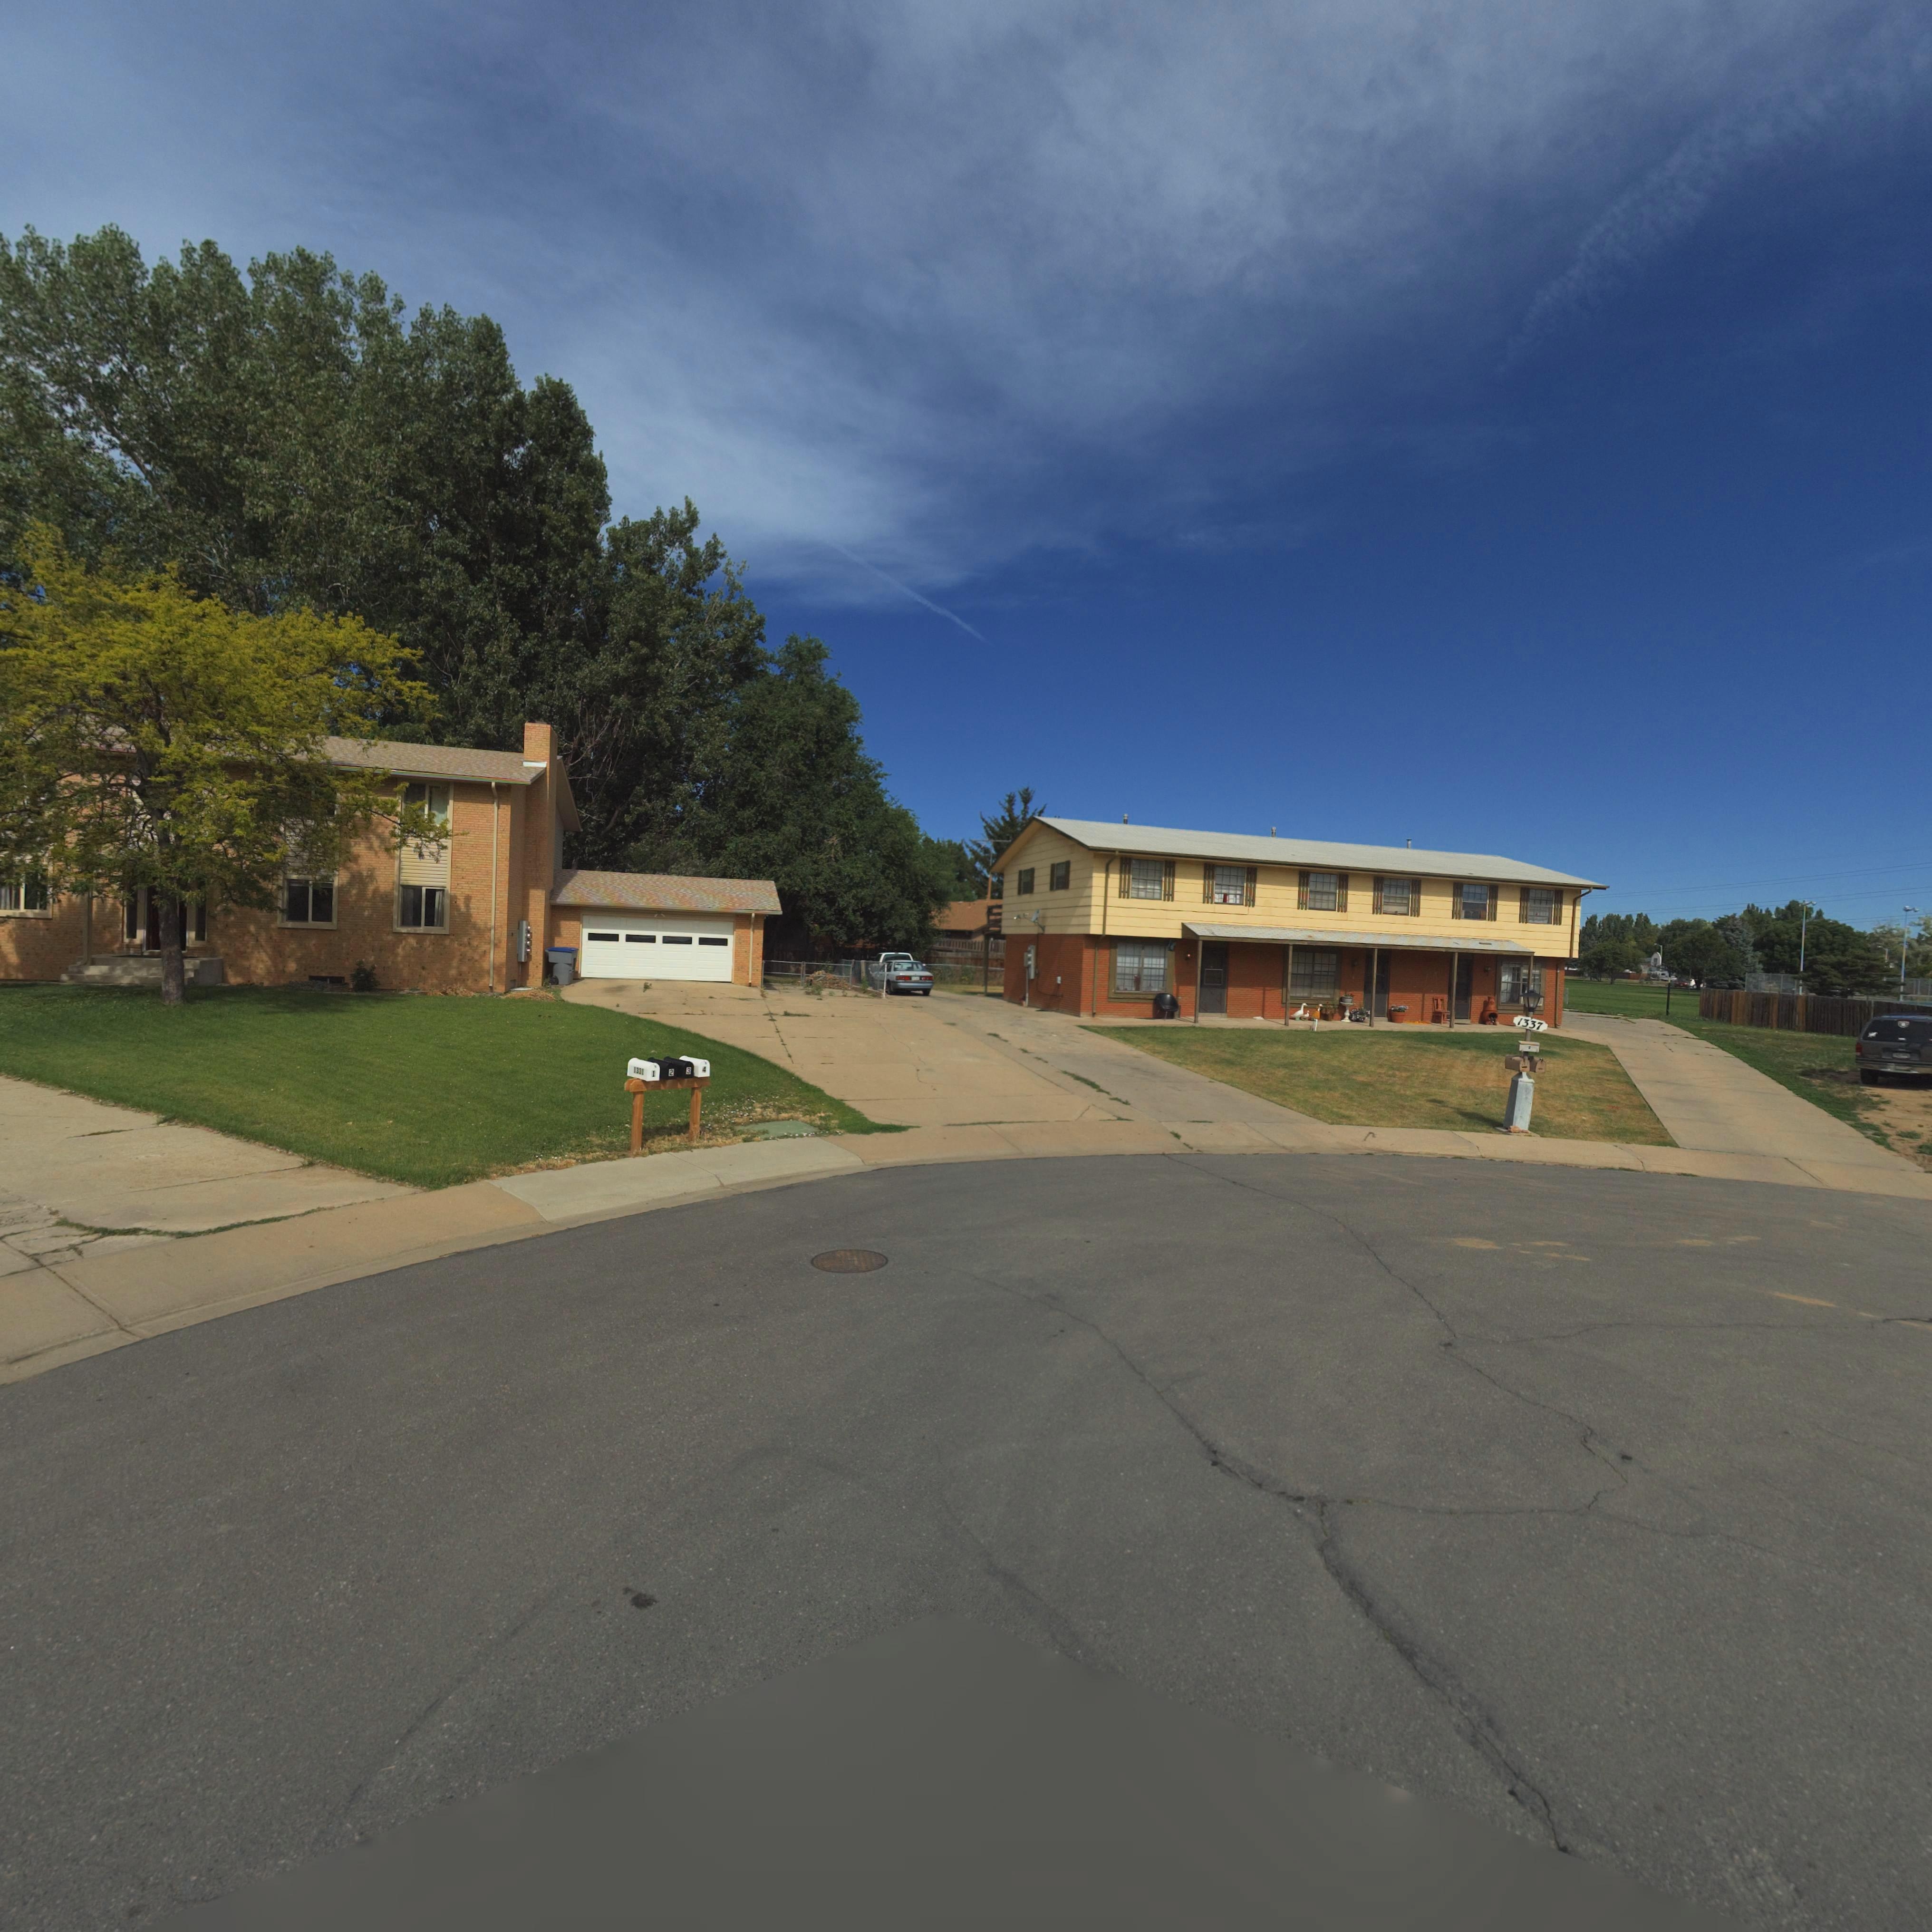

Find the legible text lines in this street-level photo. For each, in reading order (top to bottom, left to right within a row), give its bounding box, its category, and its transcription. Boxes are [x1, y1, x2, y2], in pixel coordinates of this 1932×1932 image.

[1517, 1017, 1543, 1030] StreetNumber: 1337
[633, 1066, 643, 1075] StreetNumber: 1331